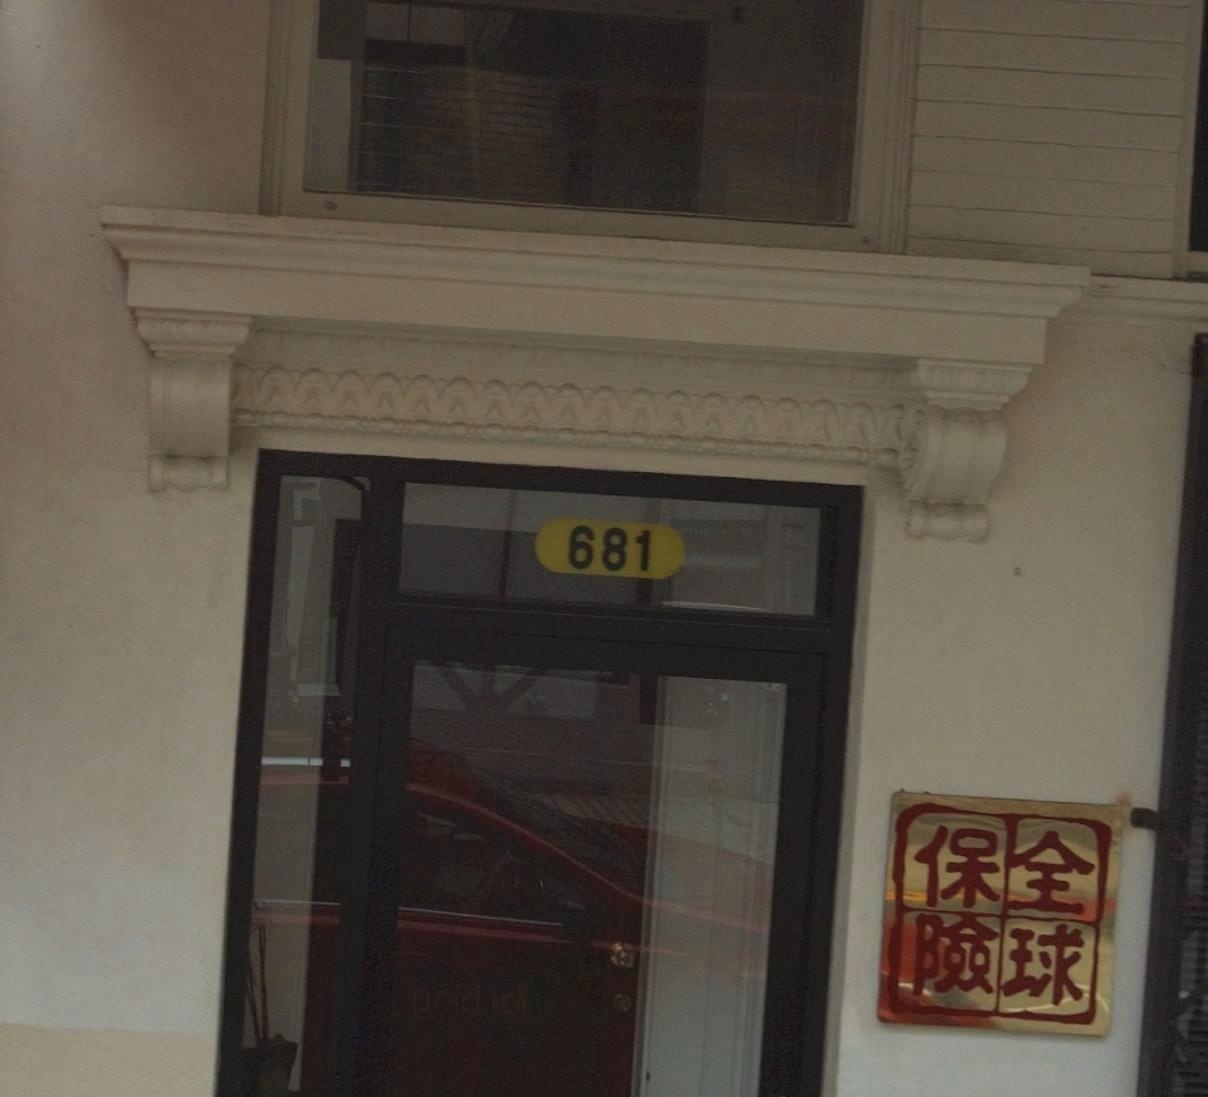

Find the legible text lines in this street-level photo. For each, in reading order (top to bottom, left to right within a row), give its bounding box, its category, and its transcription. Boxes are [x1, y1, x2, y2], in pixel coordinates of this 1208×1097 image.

[565, 521, 656, 577] StreetNumber: 681
[409, 982, 483, 1024] None: **i*